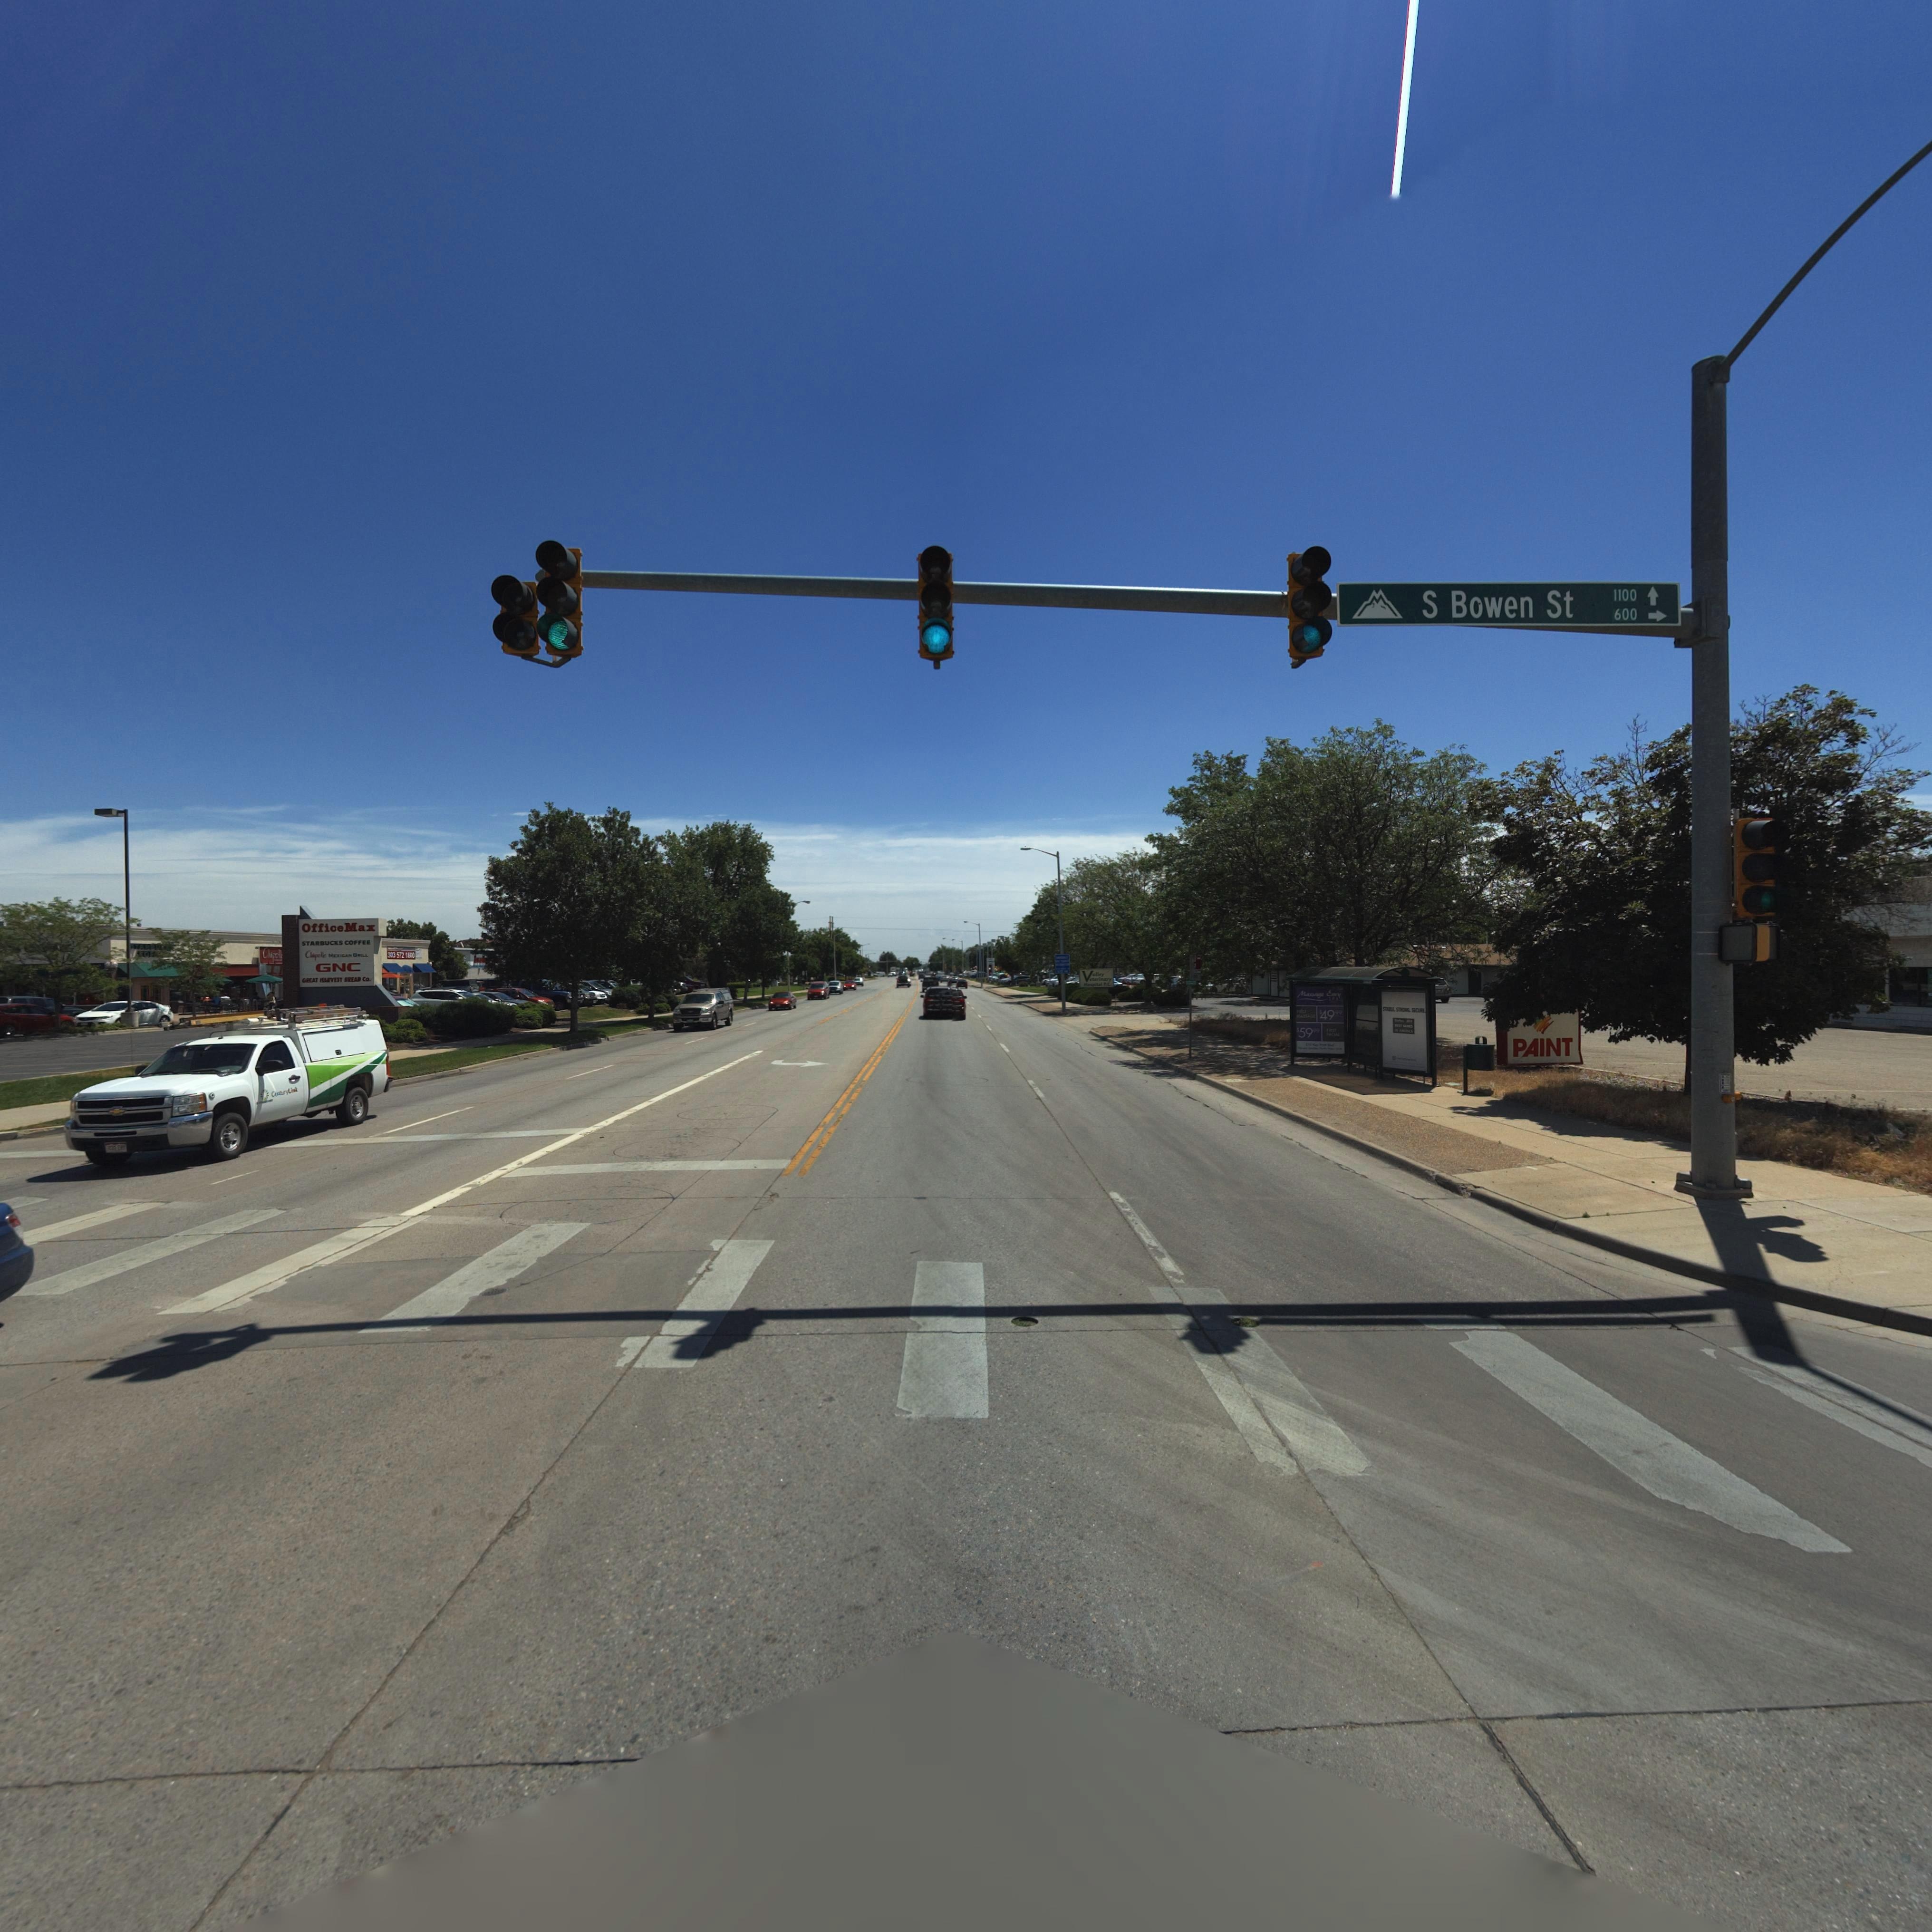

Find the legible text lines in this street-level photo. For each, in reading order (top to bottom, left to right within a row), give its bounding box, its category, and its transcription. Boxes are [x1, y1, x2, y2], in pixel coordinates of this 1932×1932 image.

[1613, 588, 1637, 602] StreetNumberRange: 1100
[1422, 589, 1574, 619] StreetName: S Bowen St
[1613, 607, 1668, 622] StreetNumberRange: 600->
[301, 922, 376, 933] BusinessName: OfficeMax
[130, 943, 175, 951] BusinessName: *TARBUC**
[301, 939, 370, 946] BusinessName: STARBUCKS
[139, 951, 164, 958] BusinessName: *OF***
[262, 947, 282, 963] BusinessName: Chipolt
[304, 949, 369, 961] BusinessName: Chipolte MEXICAN G*ILL
[473, 954, 488, 963] BusinessName: b*ak
[315, 962, 361, 972] BusinessName: GNC
[301, 976, 371, 983] BusinessName: GREAT HARVEST BREAD Co.
[1081, 970, 1093, 982] BusinessName: V
[1083, 982, 1111, 986] BusinessName: Ho**ital P.C.
[1092, 971, 1105, 977] BusinessName: *lley
[1089, 976, 1112, 982] BusinessName: eterinary